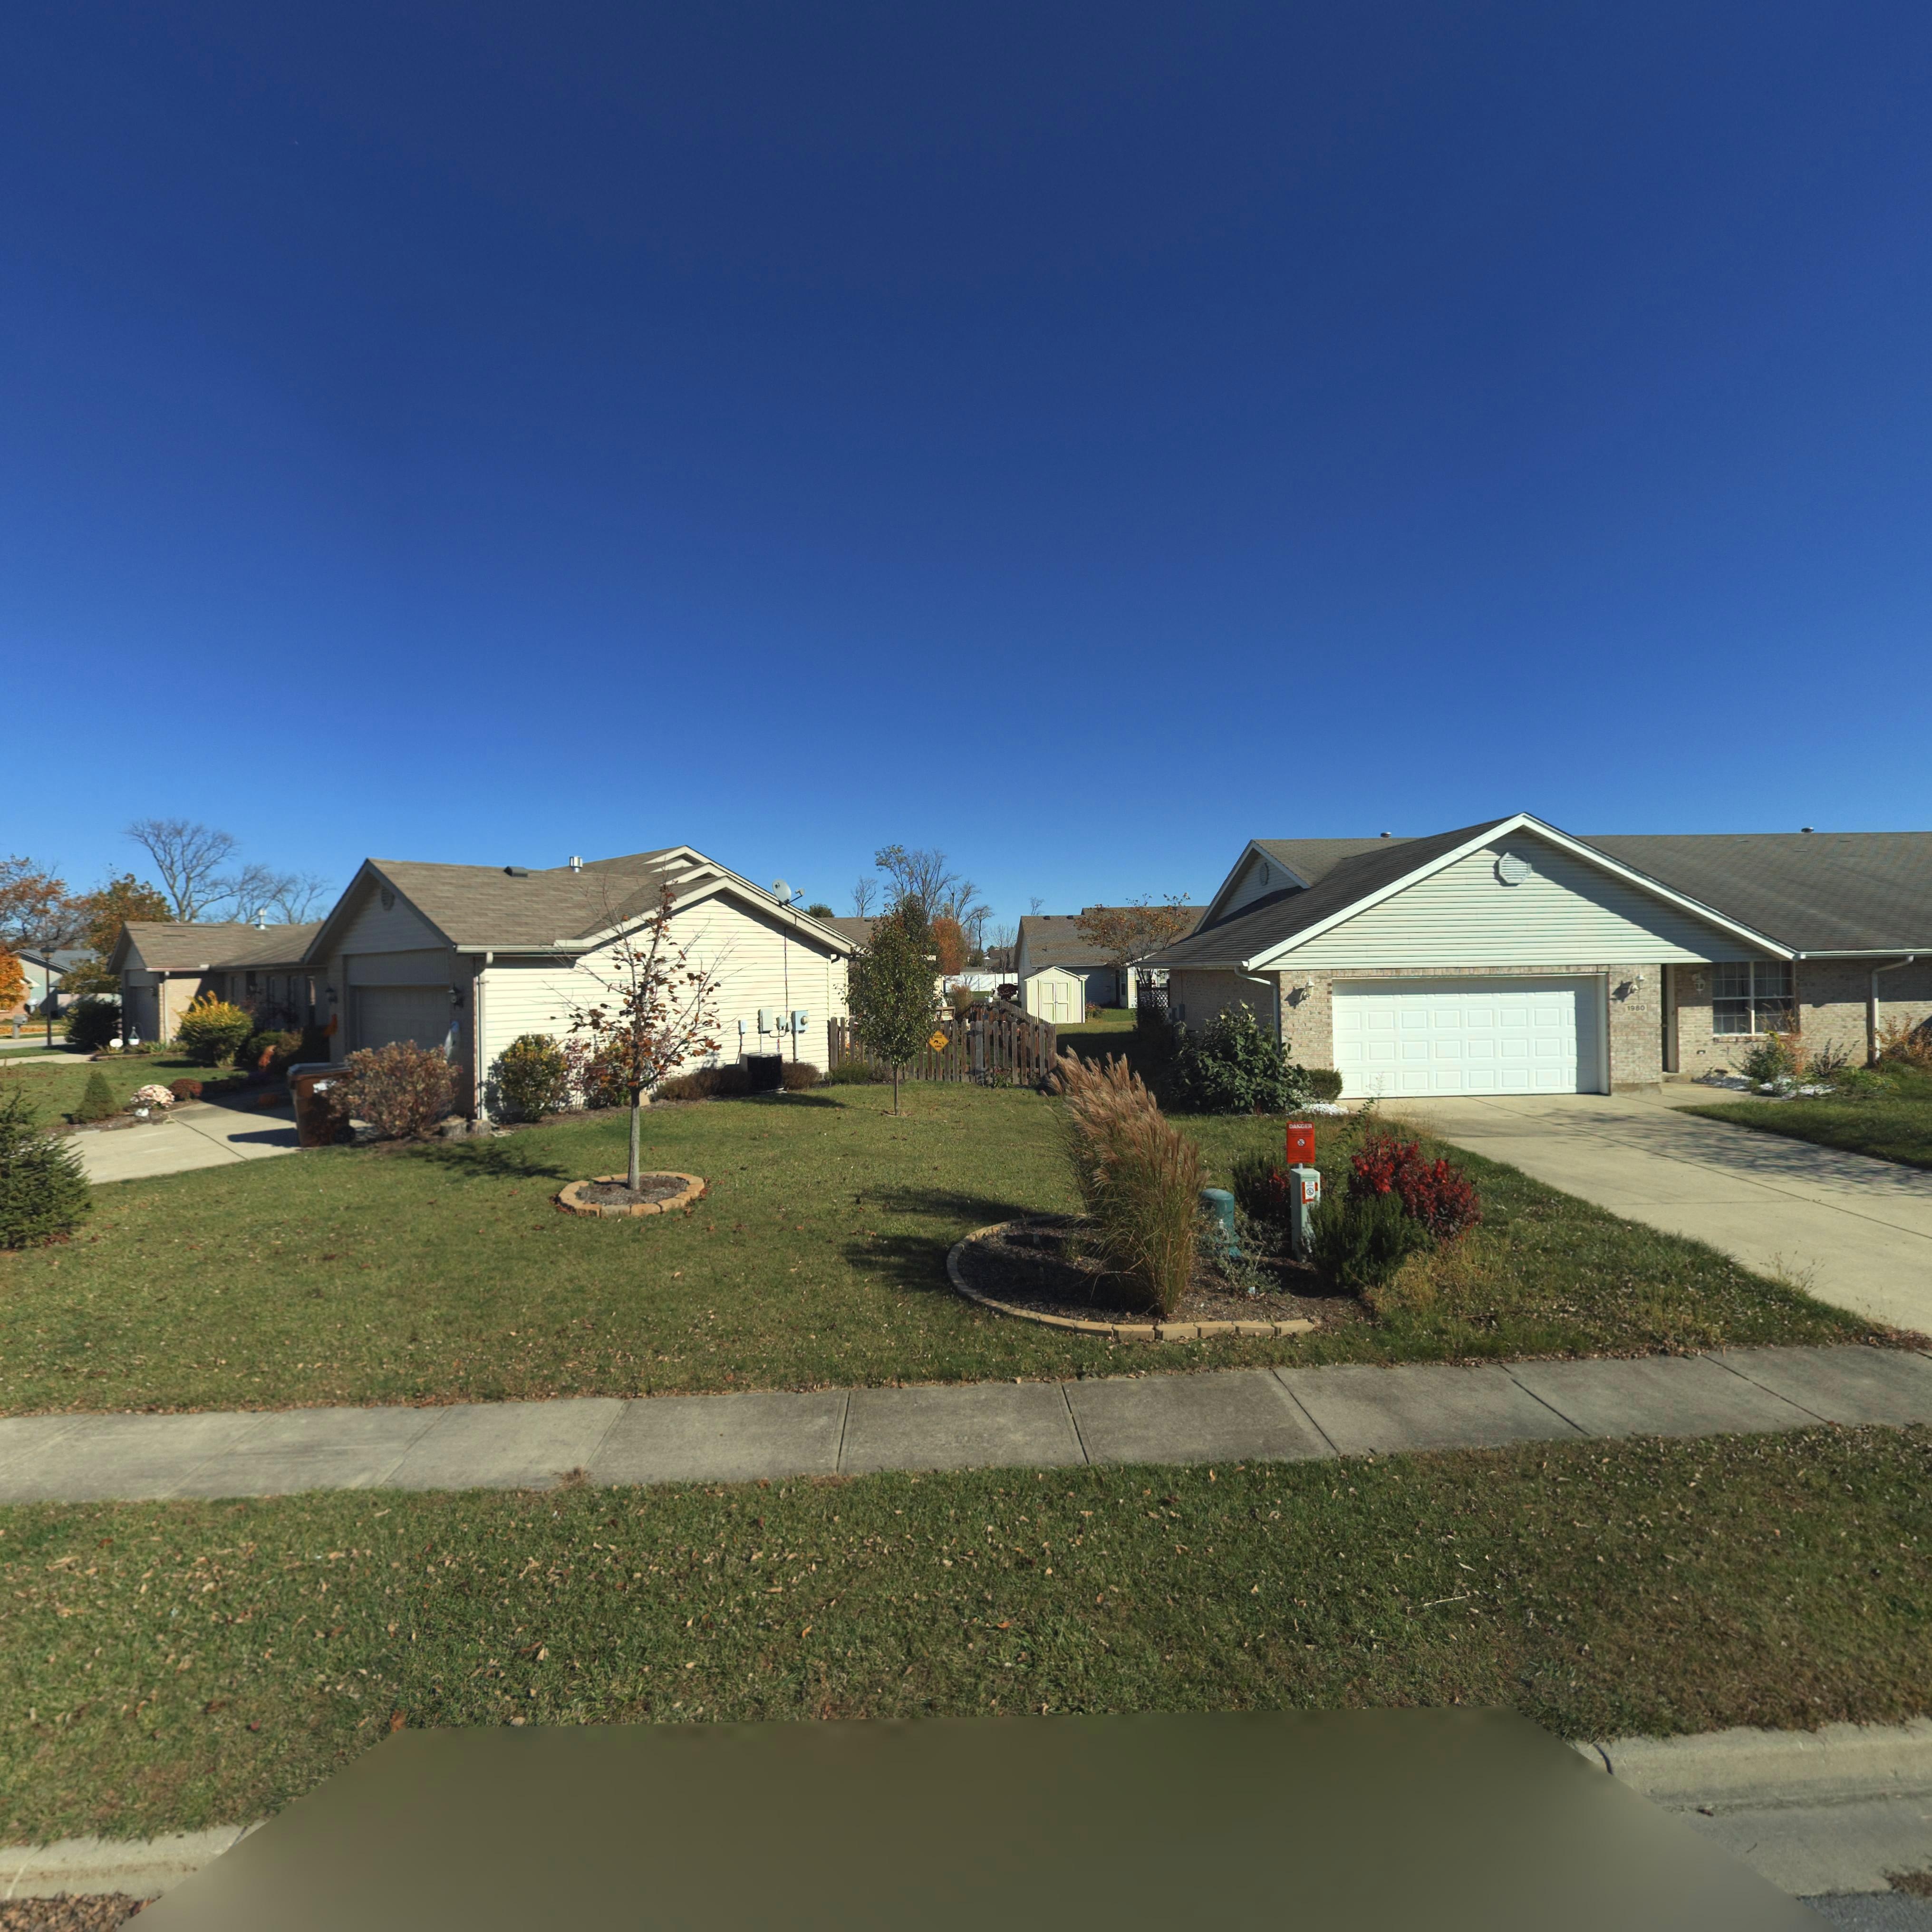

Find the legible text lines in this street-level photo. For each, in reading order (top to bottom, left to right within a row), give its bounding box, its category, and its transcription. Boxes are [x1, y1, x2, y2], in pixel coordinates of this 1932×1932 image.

[1626, 1004, 1646, 1012] StreetNumber: 1980